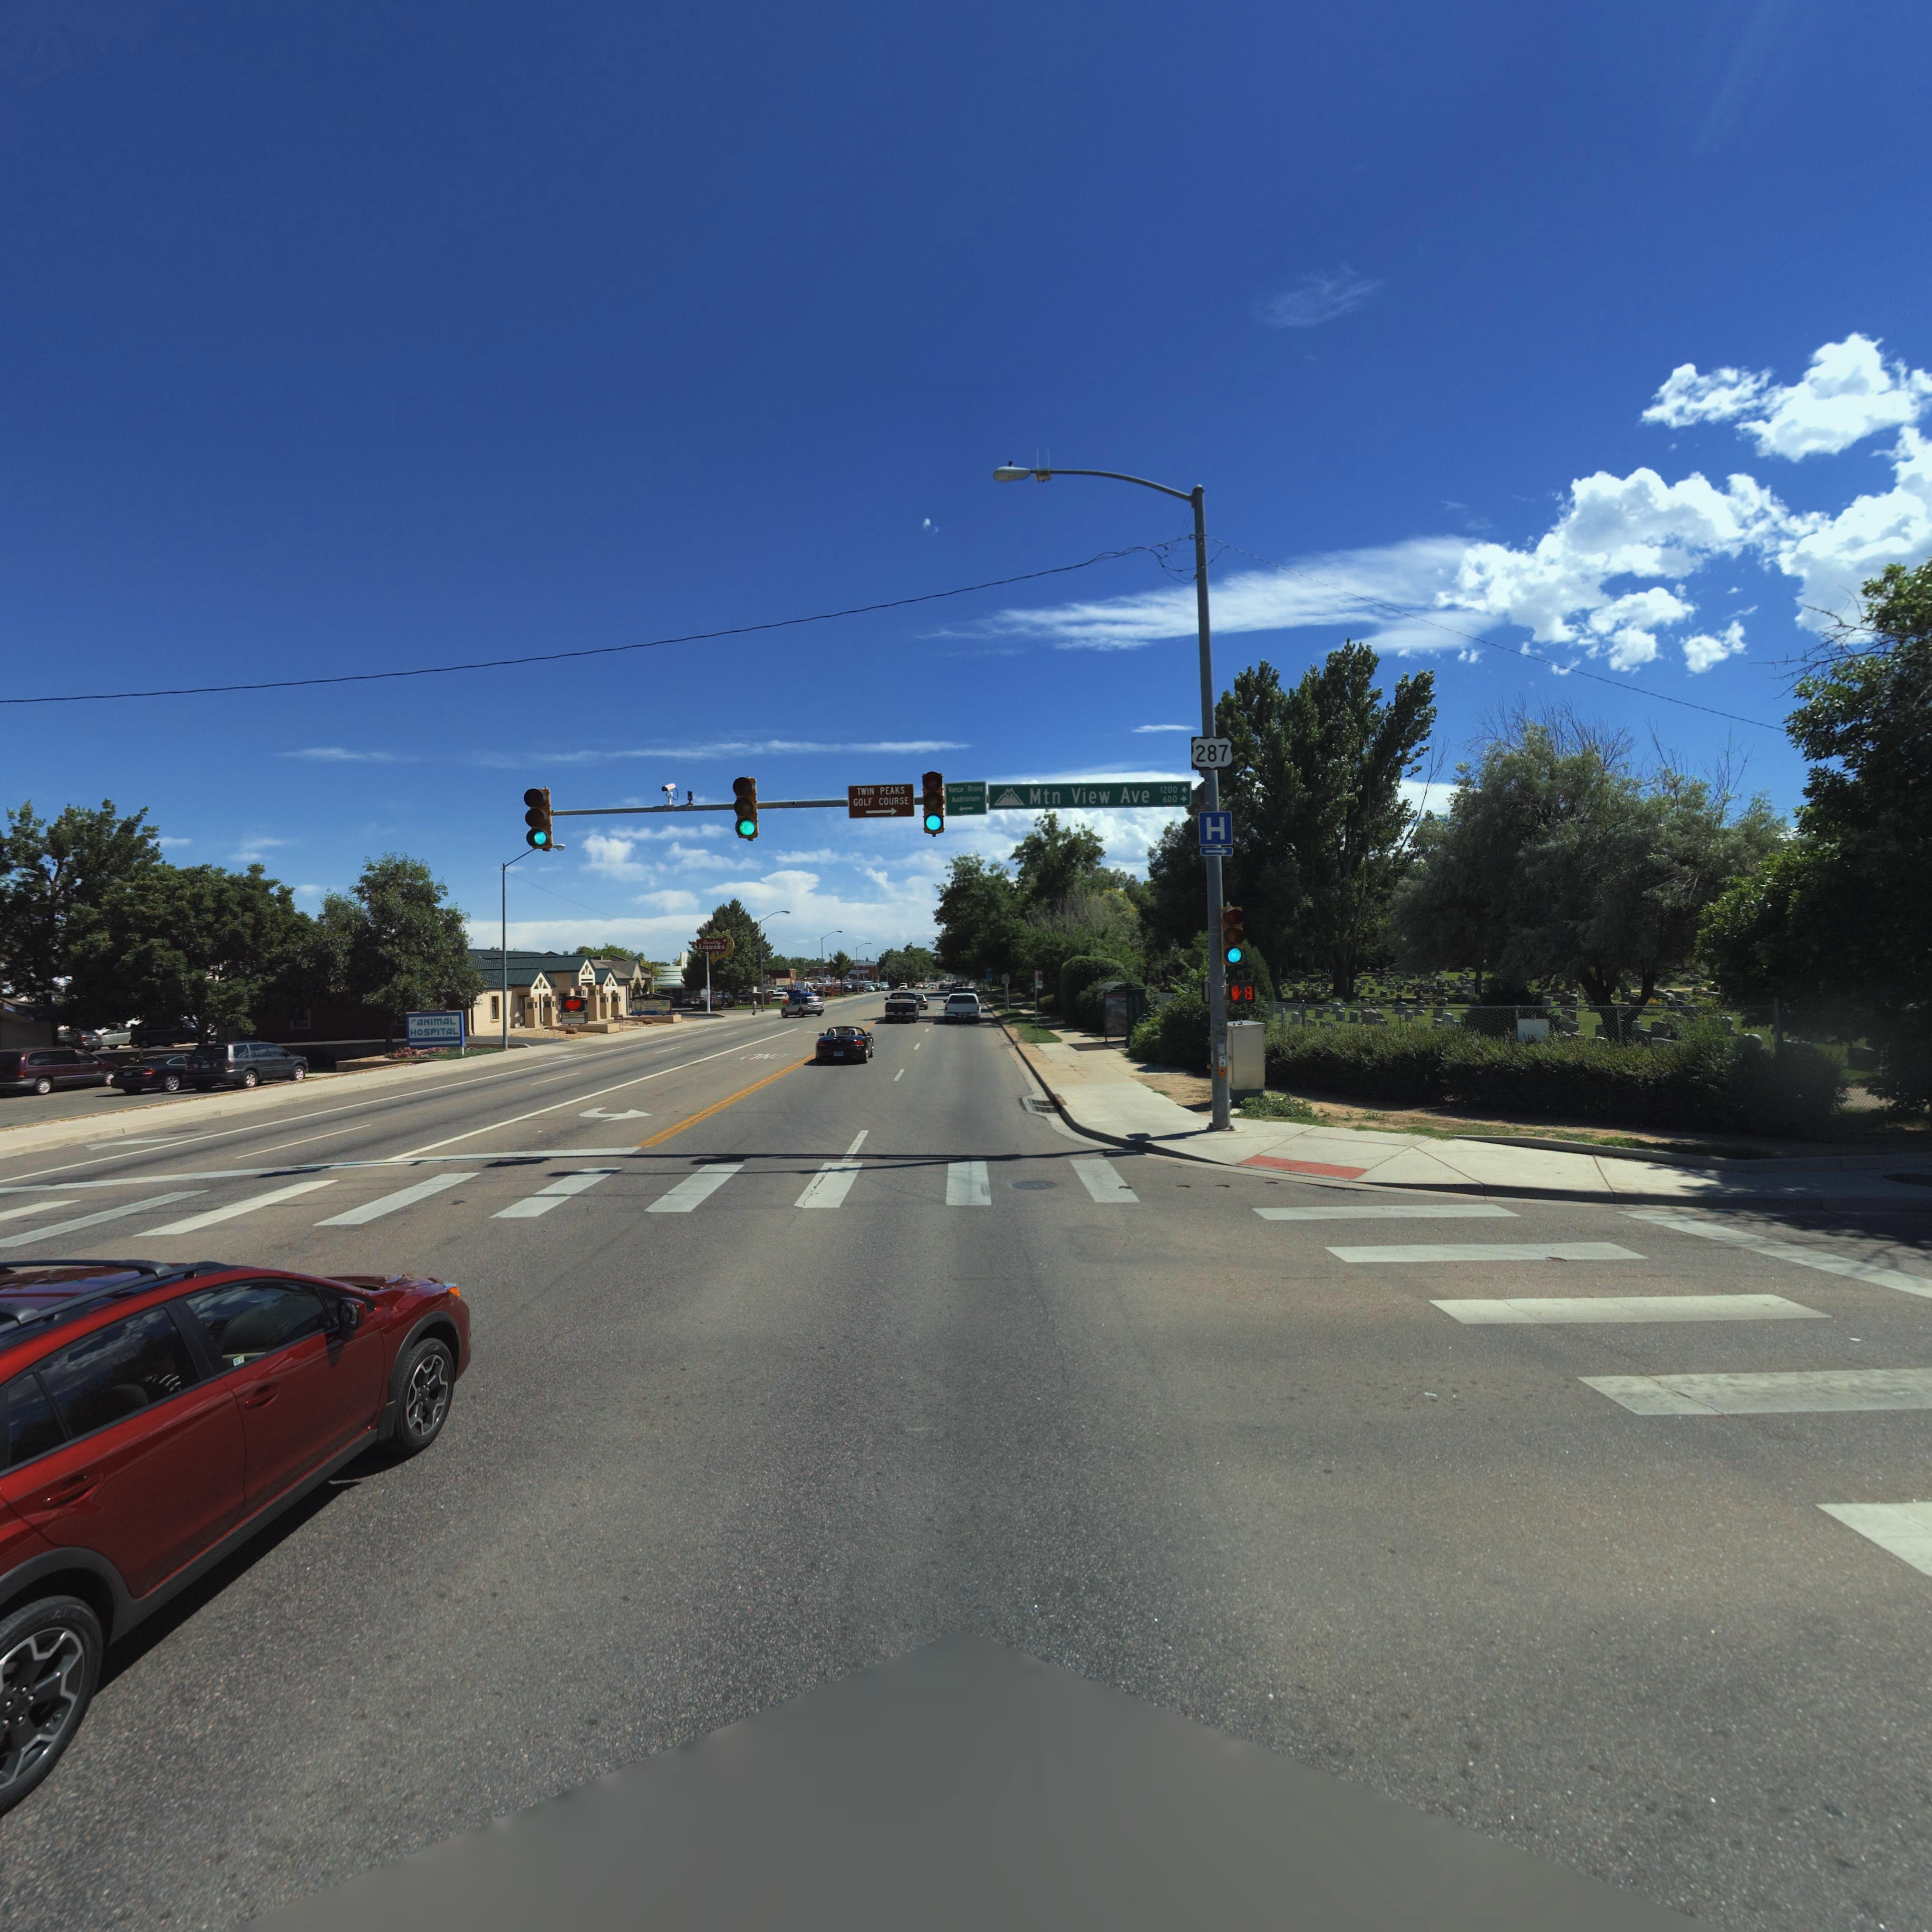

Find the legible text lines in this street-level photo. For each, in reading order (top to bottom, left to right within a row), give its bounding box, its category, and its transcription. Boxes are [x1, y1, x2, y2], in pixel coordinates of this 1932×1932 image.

[1159, 785, 1178, 794] StreetNumberRange: 1200
[1028, 786, 1151, 806] StreetName: Mtn View Ave
[1161, 794, 1188, 803] StreetNumberRange: 600->
[702, 939, 721, 945] BusinessName: Qu***ty
[699, 943, 725, 950] BusinessName: LIQUORS
[832, 986, 840, 989] BusinessName: Aut